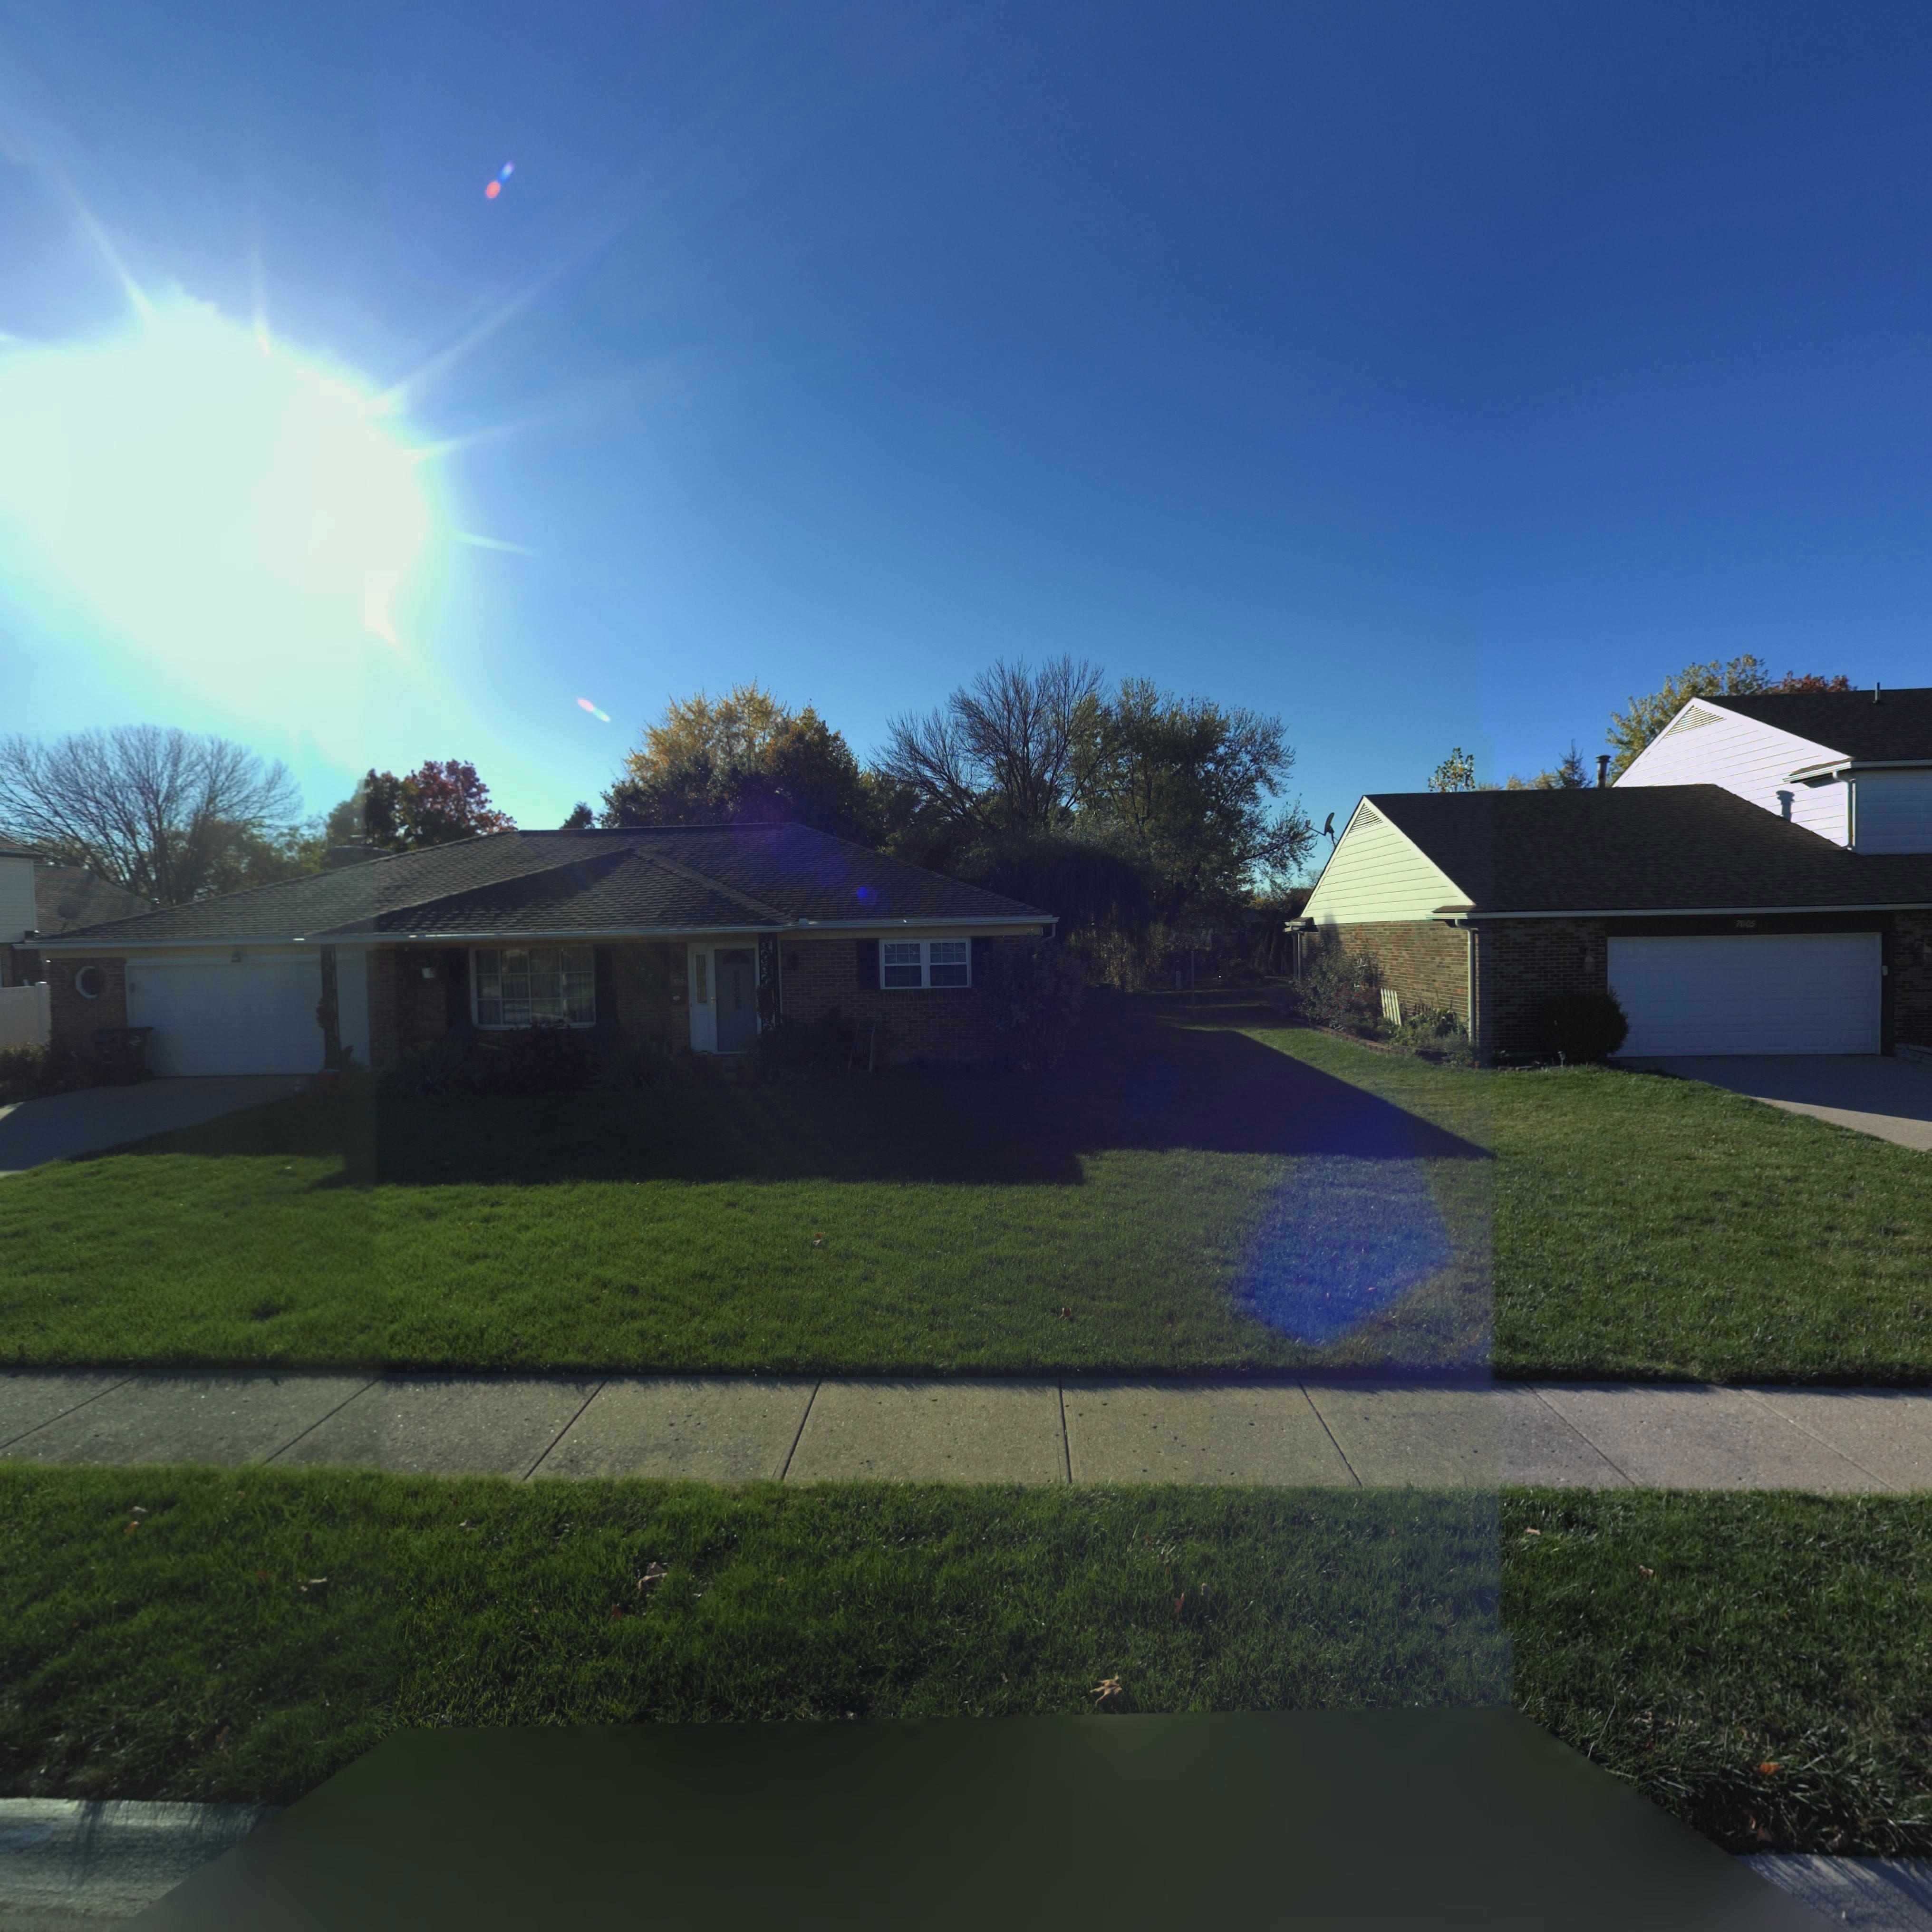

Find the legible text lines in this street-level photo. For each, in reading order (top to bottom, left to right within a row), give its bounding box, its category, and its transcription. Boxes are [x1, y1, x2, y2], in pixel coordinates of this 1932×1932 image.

[1735, 919, 1756, 928] StreetNumber: 7005